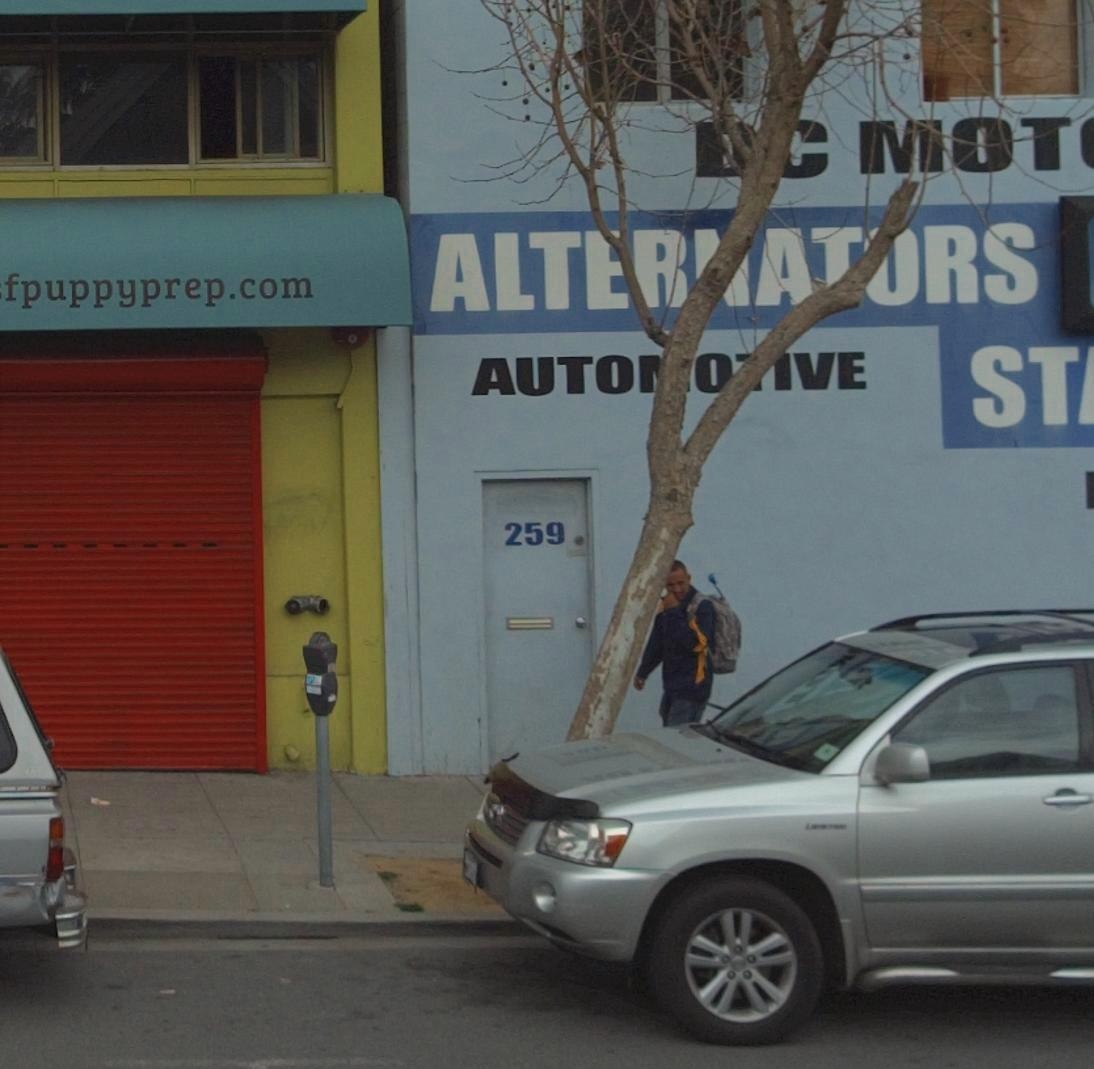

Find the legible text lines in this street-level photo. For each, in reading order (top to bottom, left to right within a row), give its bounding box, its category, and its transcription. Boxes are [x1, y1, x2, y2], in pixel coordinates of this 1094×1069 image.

[856, 112, 1076, 177] BusinessName: MOT
[2, 269, 317, 313] None: fpuppyprep.com
[425, 218, 1042, 315] None: ALT*R*A**RS
[467, 348, 872, 399] None: AUTO****VE
[968, 343, 1083, 430] None: ST
[502, 518, 568, 549] StreetNumber: 259